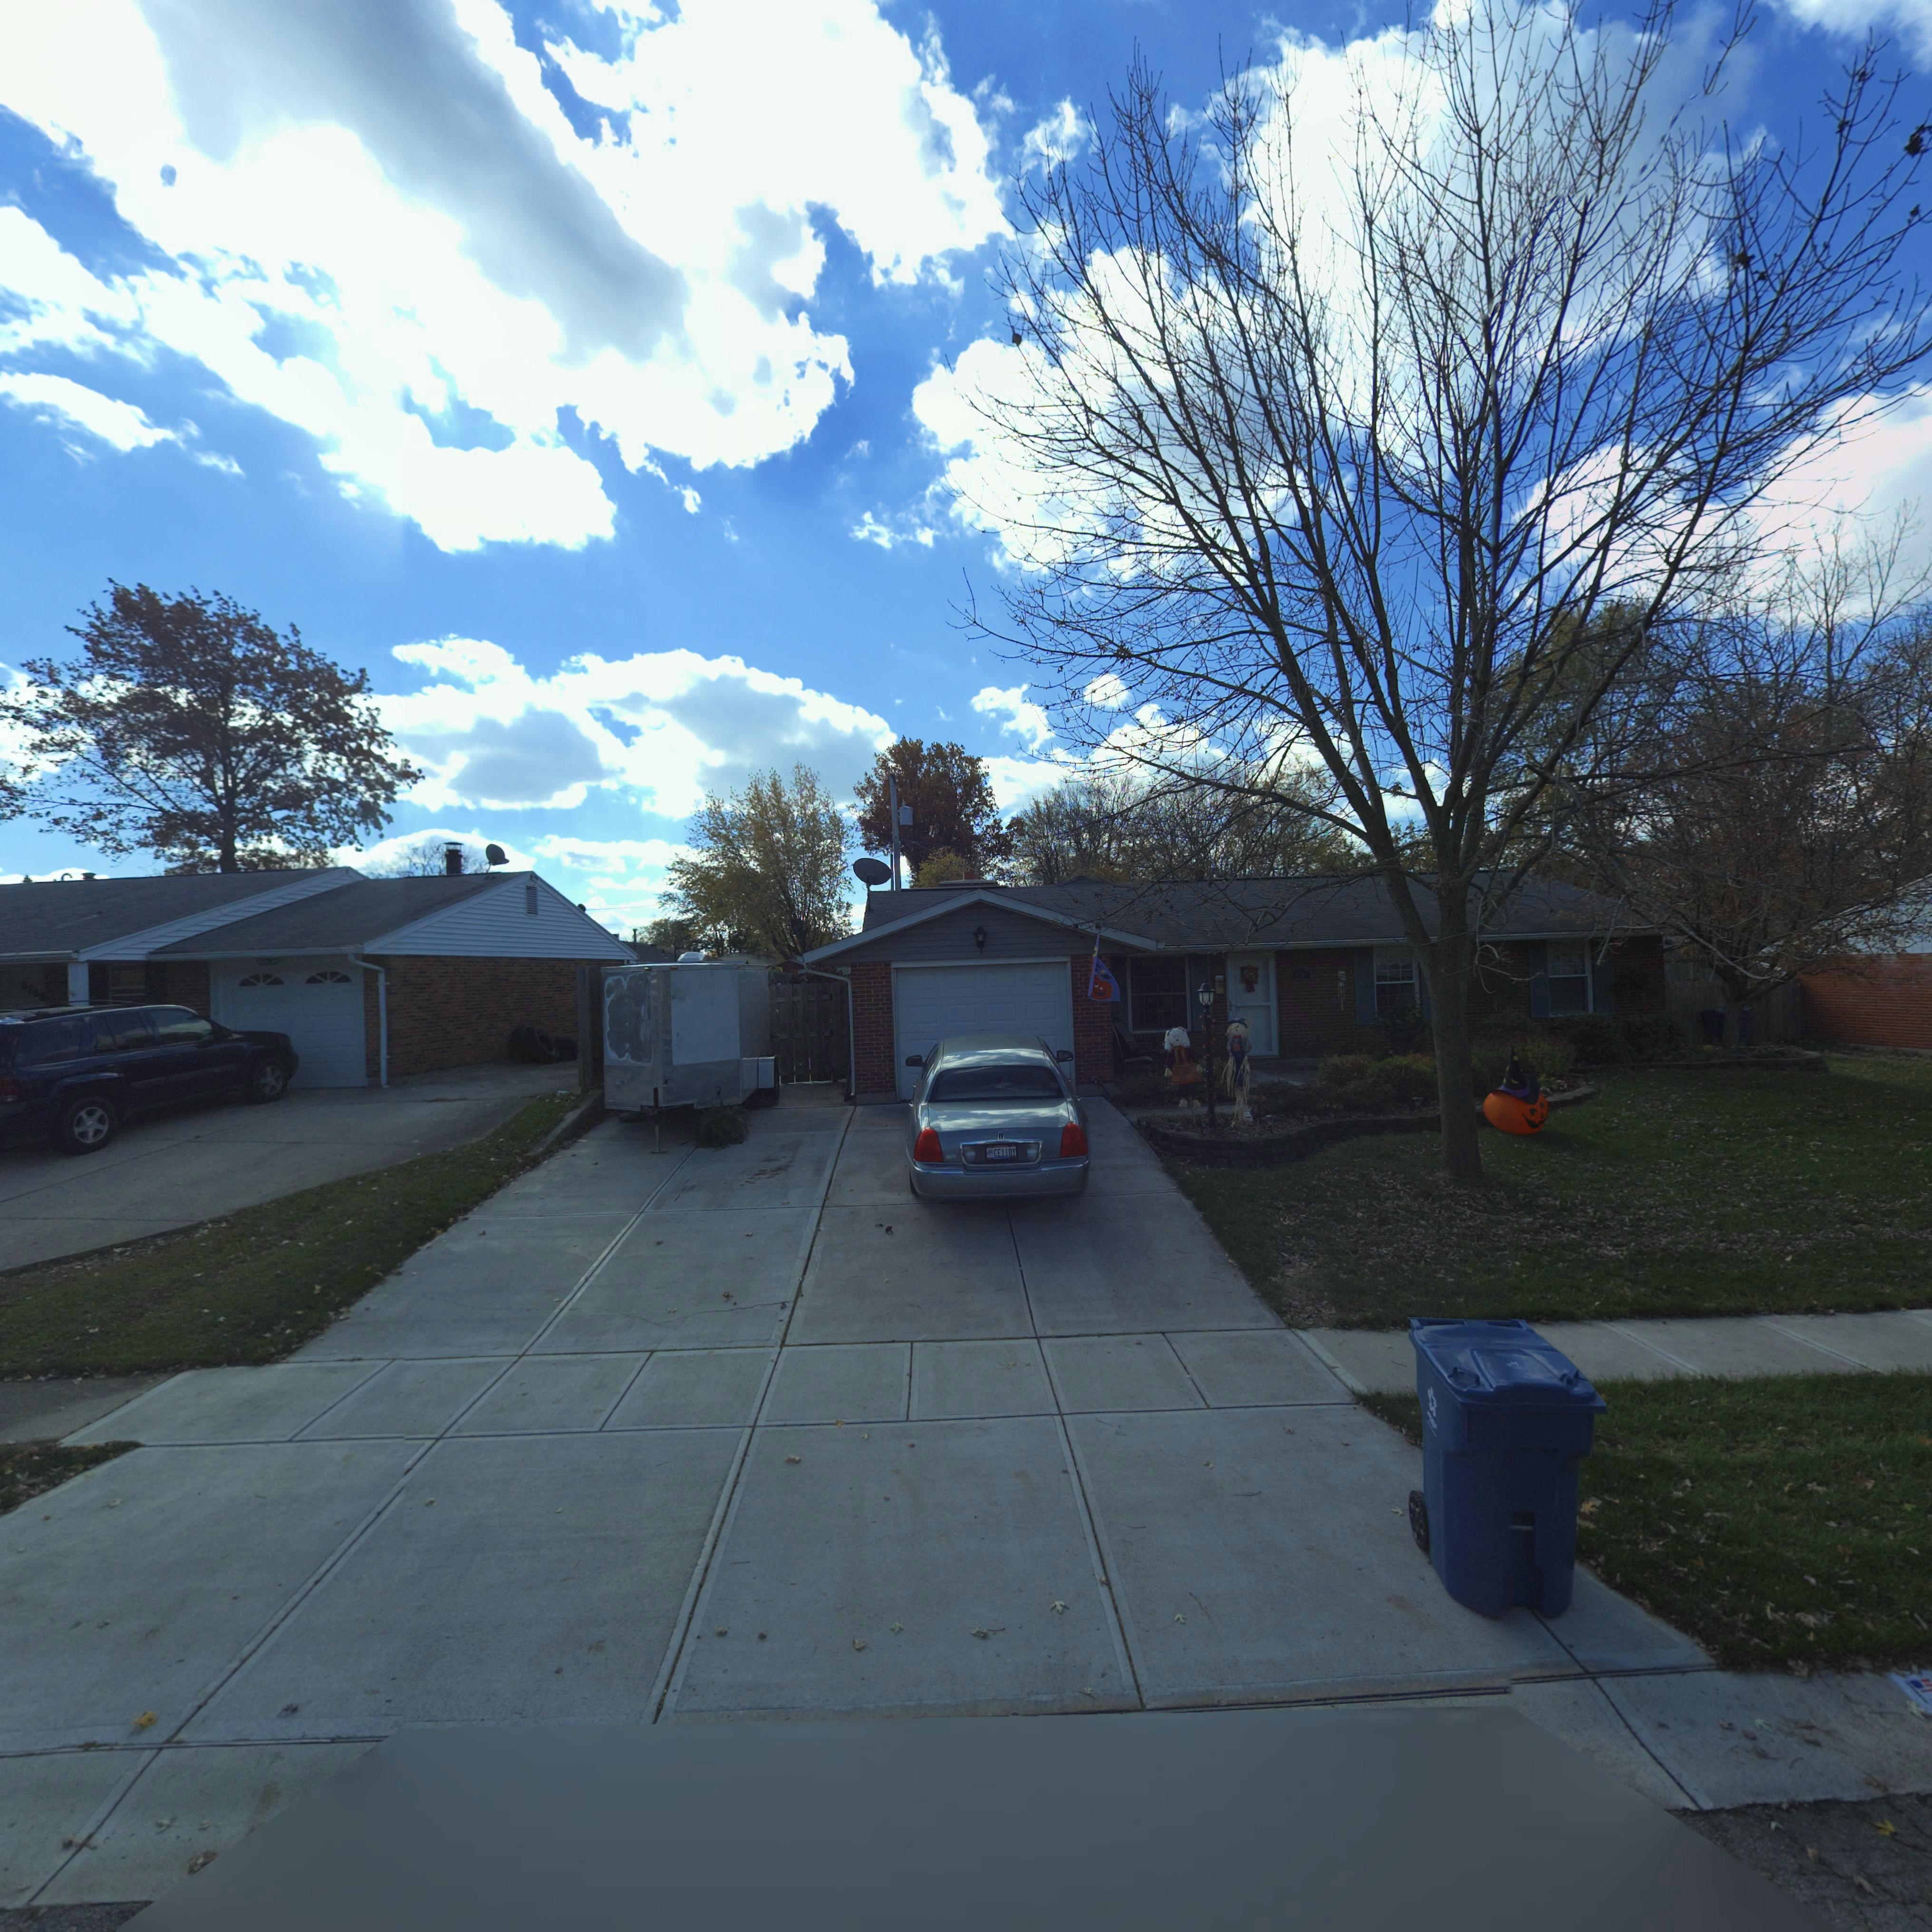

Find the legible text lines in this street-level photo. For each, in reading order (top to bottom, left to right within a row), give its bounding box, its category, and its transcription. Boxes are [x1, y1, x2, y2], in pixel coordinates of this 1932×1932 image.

[1295, 971, 1307, 979] StreetNumber: *7*0